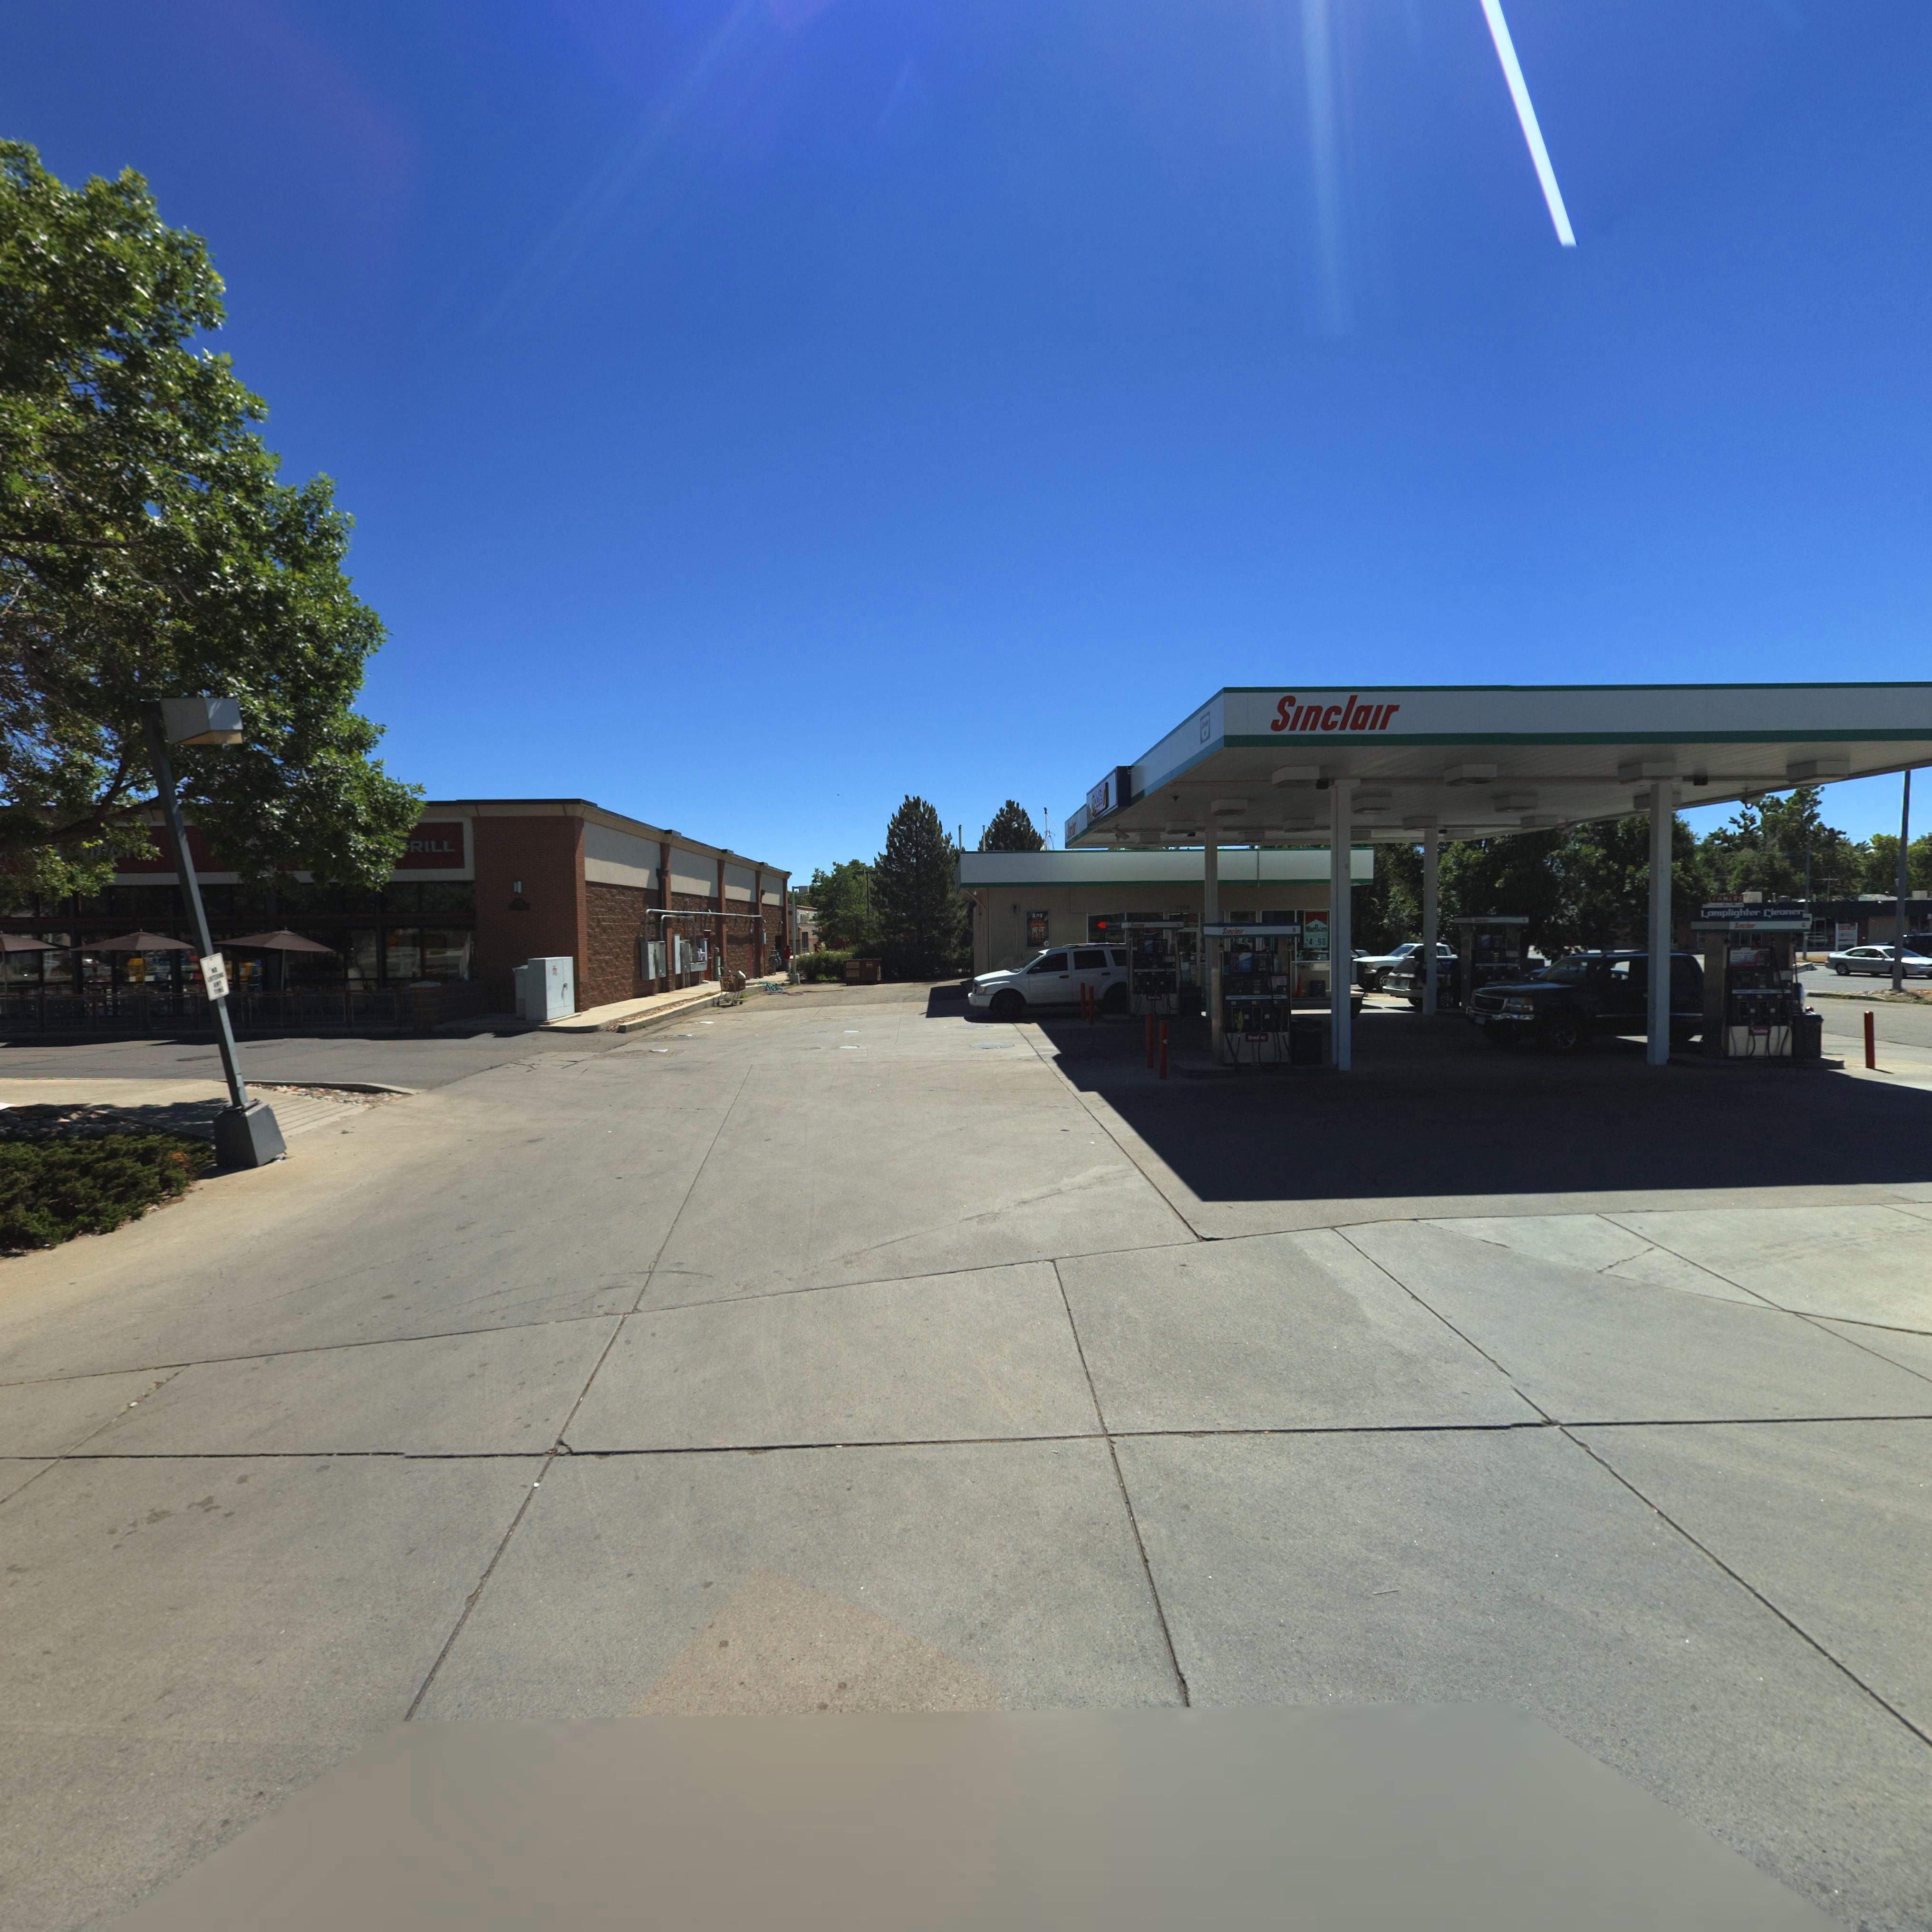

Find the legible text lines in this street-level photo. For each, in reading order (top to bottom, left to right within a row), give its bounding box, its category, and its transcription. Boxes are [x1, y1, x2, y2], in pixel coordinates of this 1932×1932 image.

[1269, 693, 1401, 733] BusinessName: Sinclair
[1201, 718, 1209, 729] BusinessName: S*******
[1091, 789, 1105, 811] BusinessName: B**dley
[1066, 821, 1076, 840] BusinessName: S*******
[409, 839, 456, 853] BusinessName: RILL
[1176, 904, 1190, 911] StreetNumber: 1700
[1700, 908, 1806, 918] BusinessName: Lamplighter Cleaner
[1474, 918, 1489, 922] BusinessName: S*******
[1130, 922, 1144, 927] BusinessName: Sin*****
[1733, 922, 1755, 928] BusinessName: Sin*****
[1222, 927, 1244, 935] BusinessName: Sinclair
[1750, 1027, 1768, 1035] BusinessName: ***d***
[1247, 1035, 1265, 1041] BusinessName: Brad**y